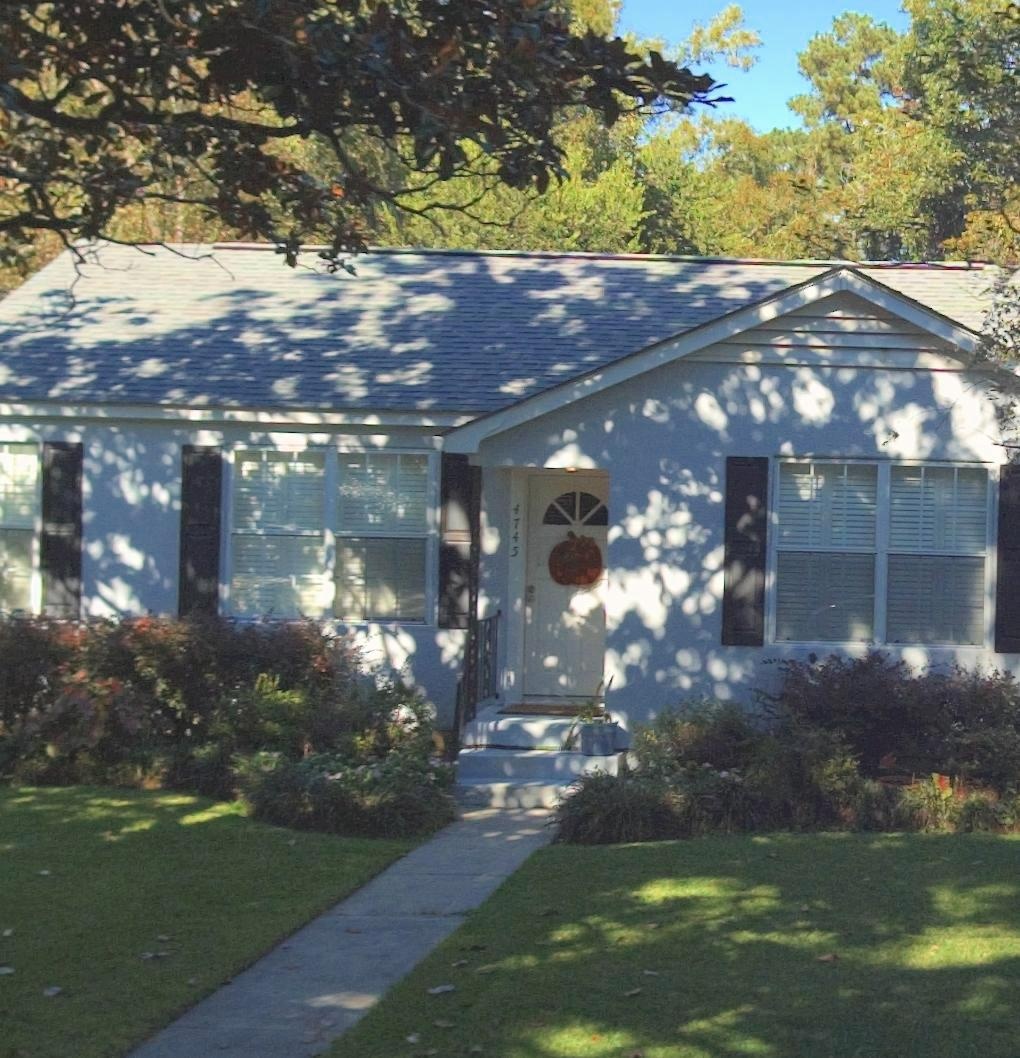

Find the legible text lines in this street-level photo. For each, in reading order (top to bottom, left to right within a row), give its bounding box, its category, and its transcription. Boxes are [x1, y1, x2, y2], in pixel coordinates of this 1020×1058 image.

[508, 502, 523, 558] StreetNumber: 4745